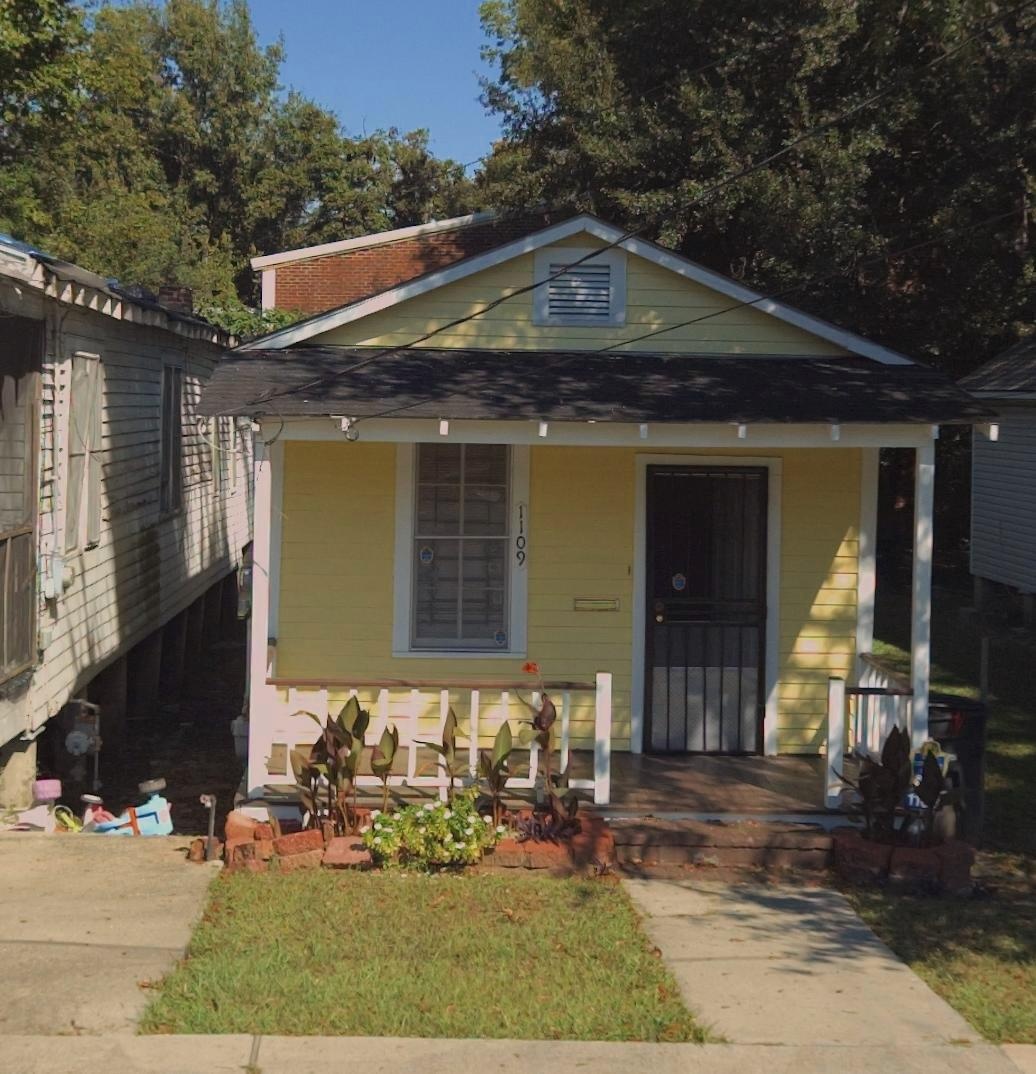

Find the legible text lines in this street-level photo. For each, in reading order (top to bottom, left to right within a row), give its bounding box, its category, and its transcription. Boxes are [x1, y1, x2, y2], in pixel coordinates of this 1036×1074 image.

[514, 502, 528, 570] StreetNumber: 1109